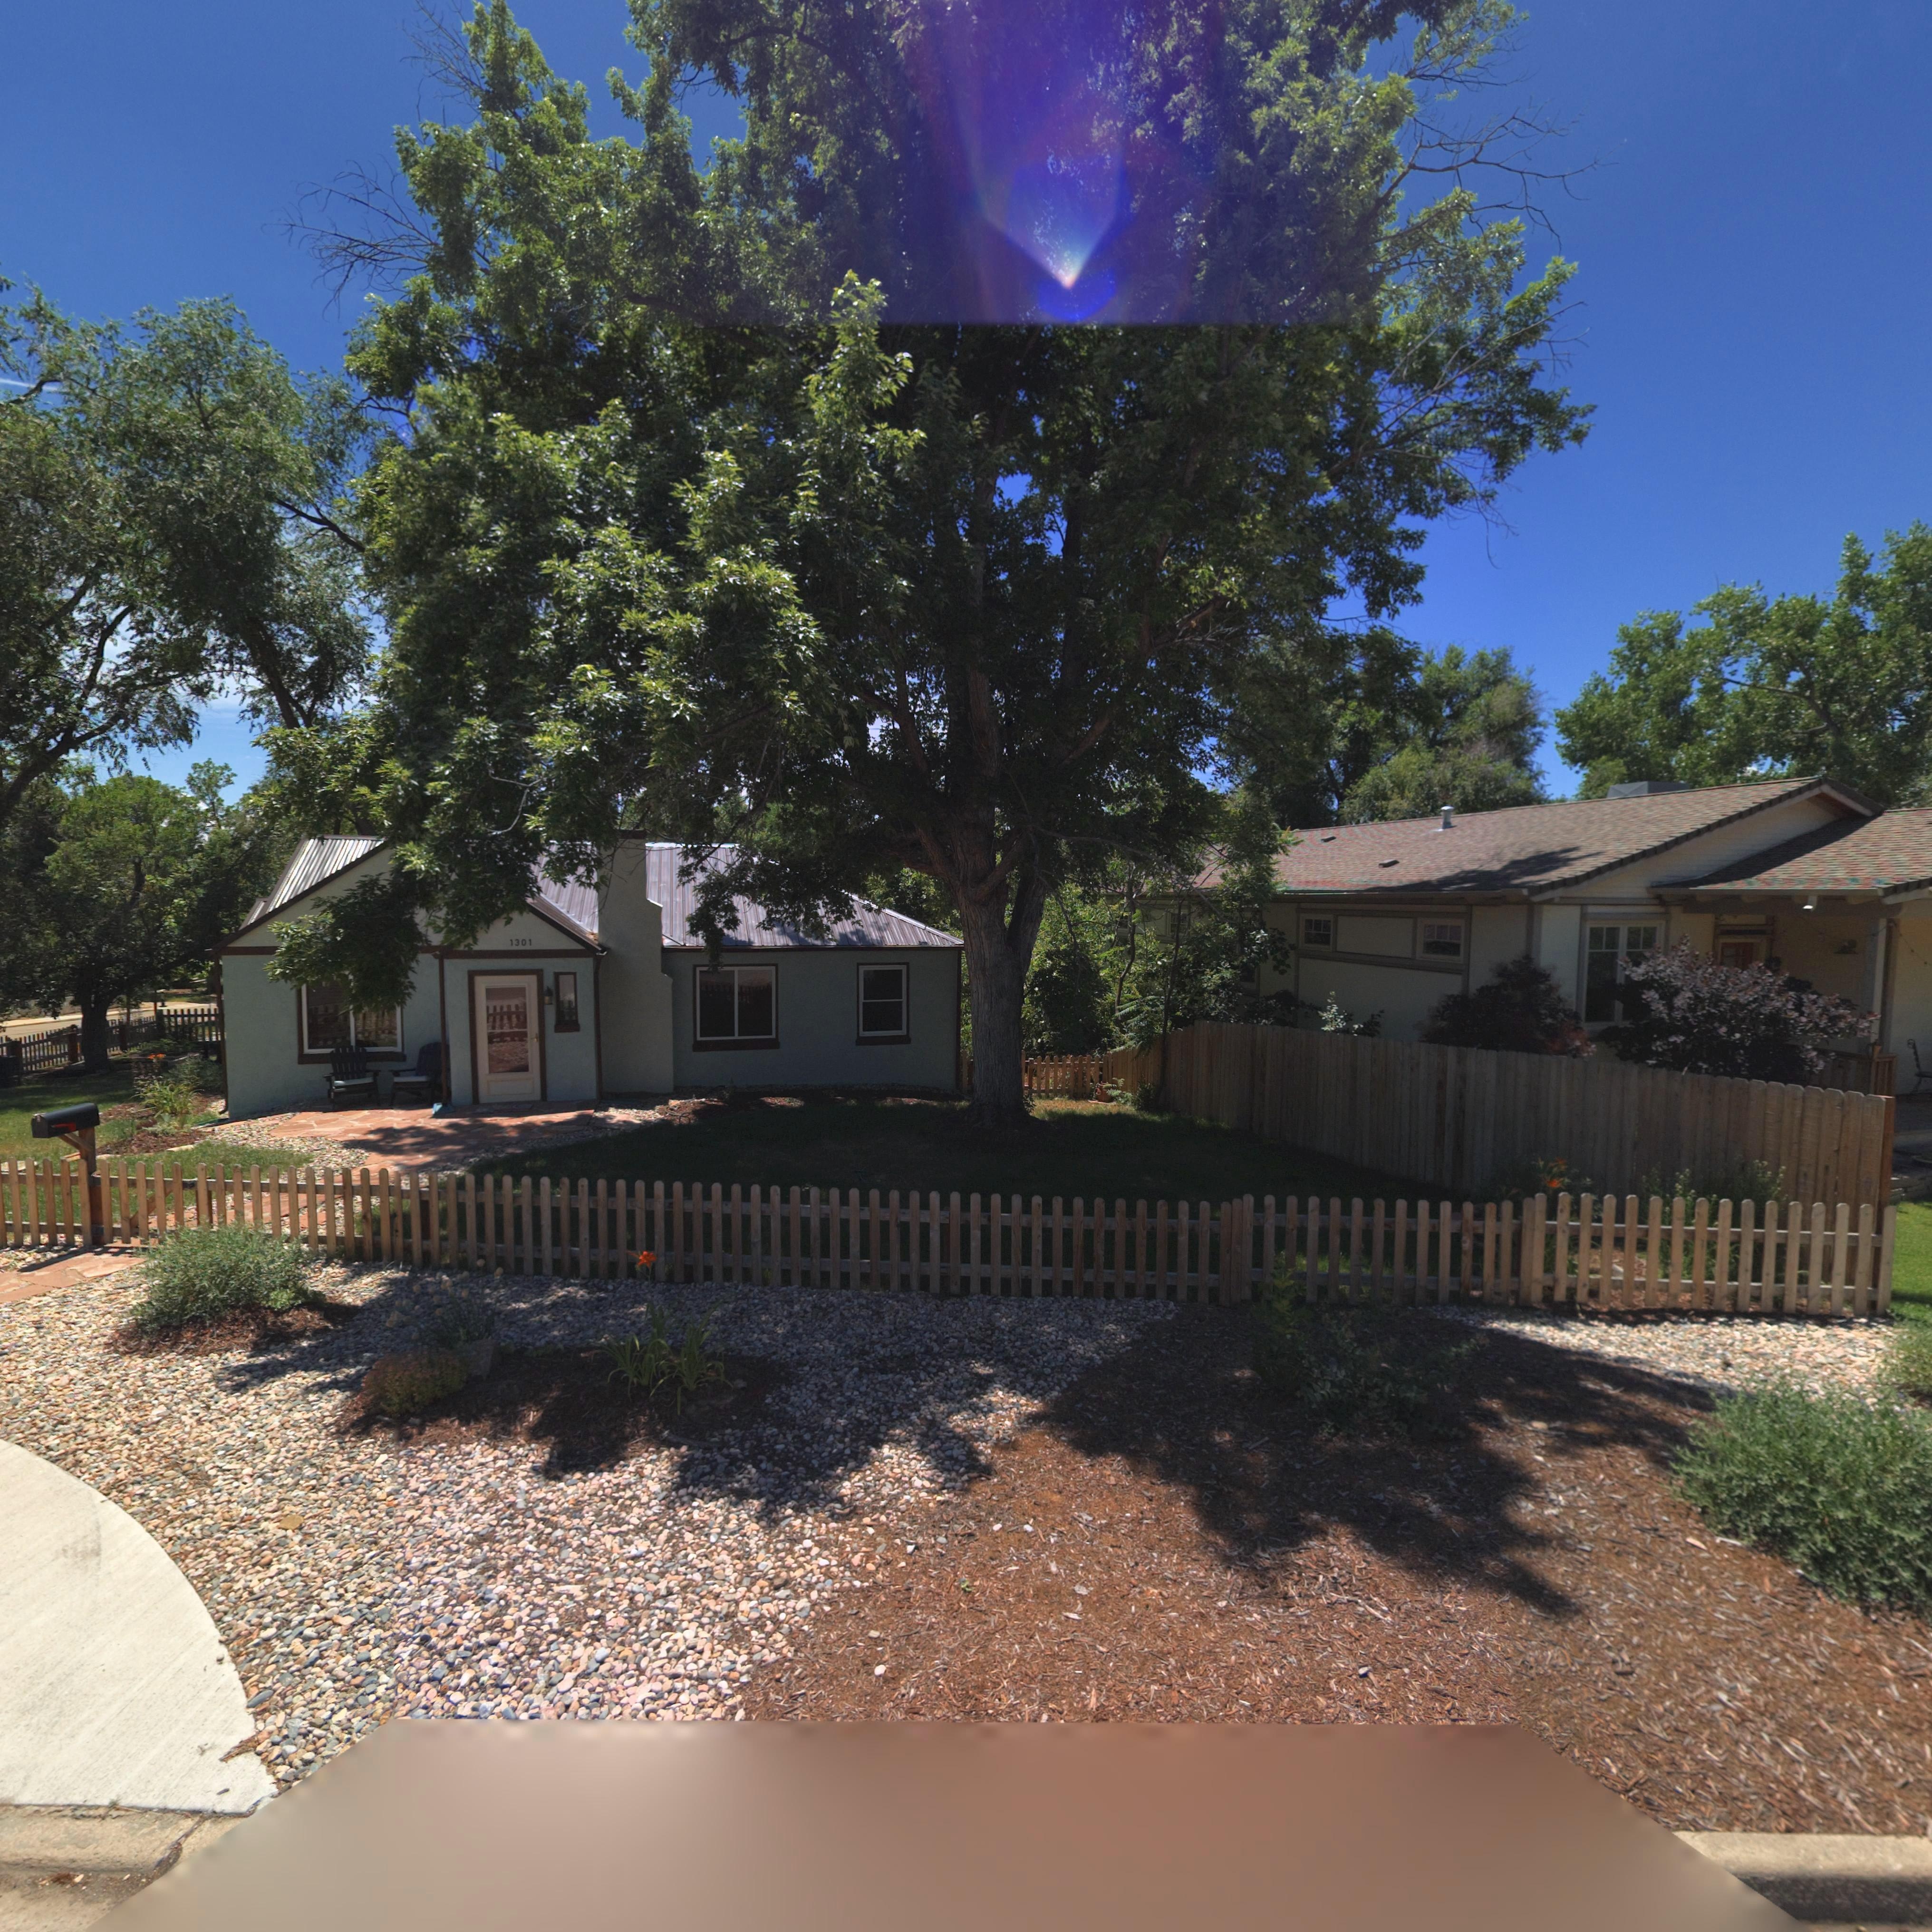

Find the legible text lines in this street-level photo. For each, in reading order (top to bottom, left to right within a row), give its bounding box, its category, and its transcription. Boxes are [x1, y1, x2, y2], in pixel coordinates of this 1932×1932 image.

[510, 939, 531, 946] StreetNumber: 1301